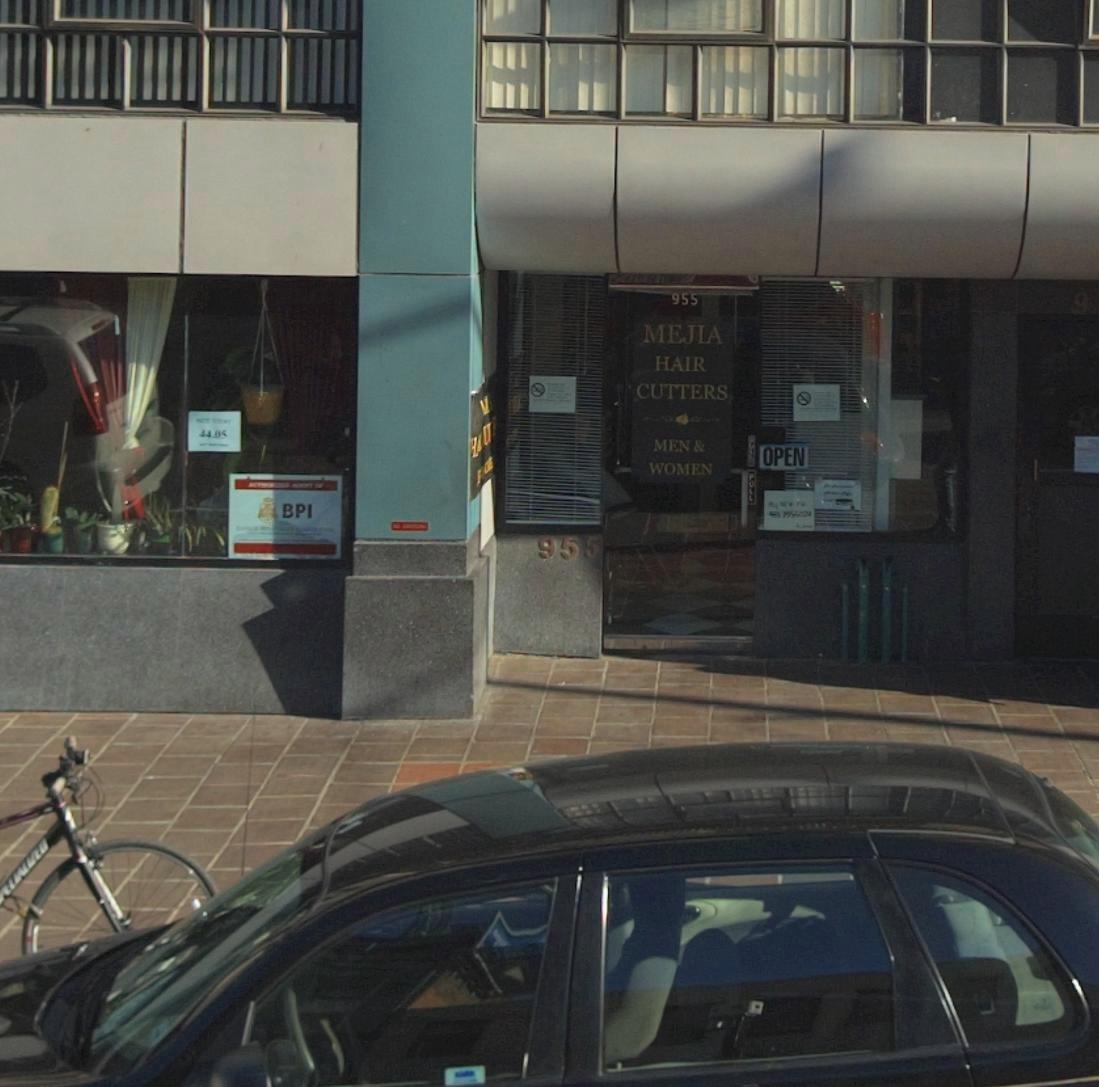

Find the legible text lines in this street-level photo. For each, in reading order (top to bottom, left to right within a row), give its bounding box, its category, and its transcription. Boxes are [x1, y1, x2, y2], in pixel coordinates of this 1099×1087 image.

[670, 291, 699, 306] None: 955
[642, 322, 725, 346] BusinessName: MEJIA
[653, 354, 707, 373] BusinessName: HAIR
[635, 381, 729, 402] BusinessName: CUTTERS
[198, 428, 228, 440] None: 44.05
[653, 437, 692, 454] None: MEN
[762, 445, 806, 468] None: OPEN
[646, 461, 714, 477] None: WOMEN
[748, 472, 755, 503] None: PULL
[281, 502, 313, 521] None: BPI
[537, 534, 603, 561] StreetNumber: 955